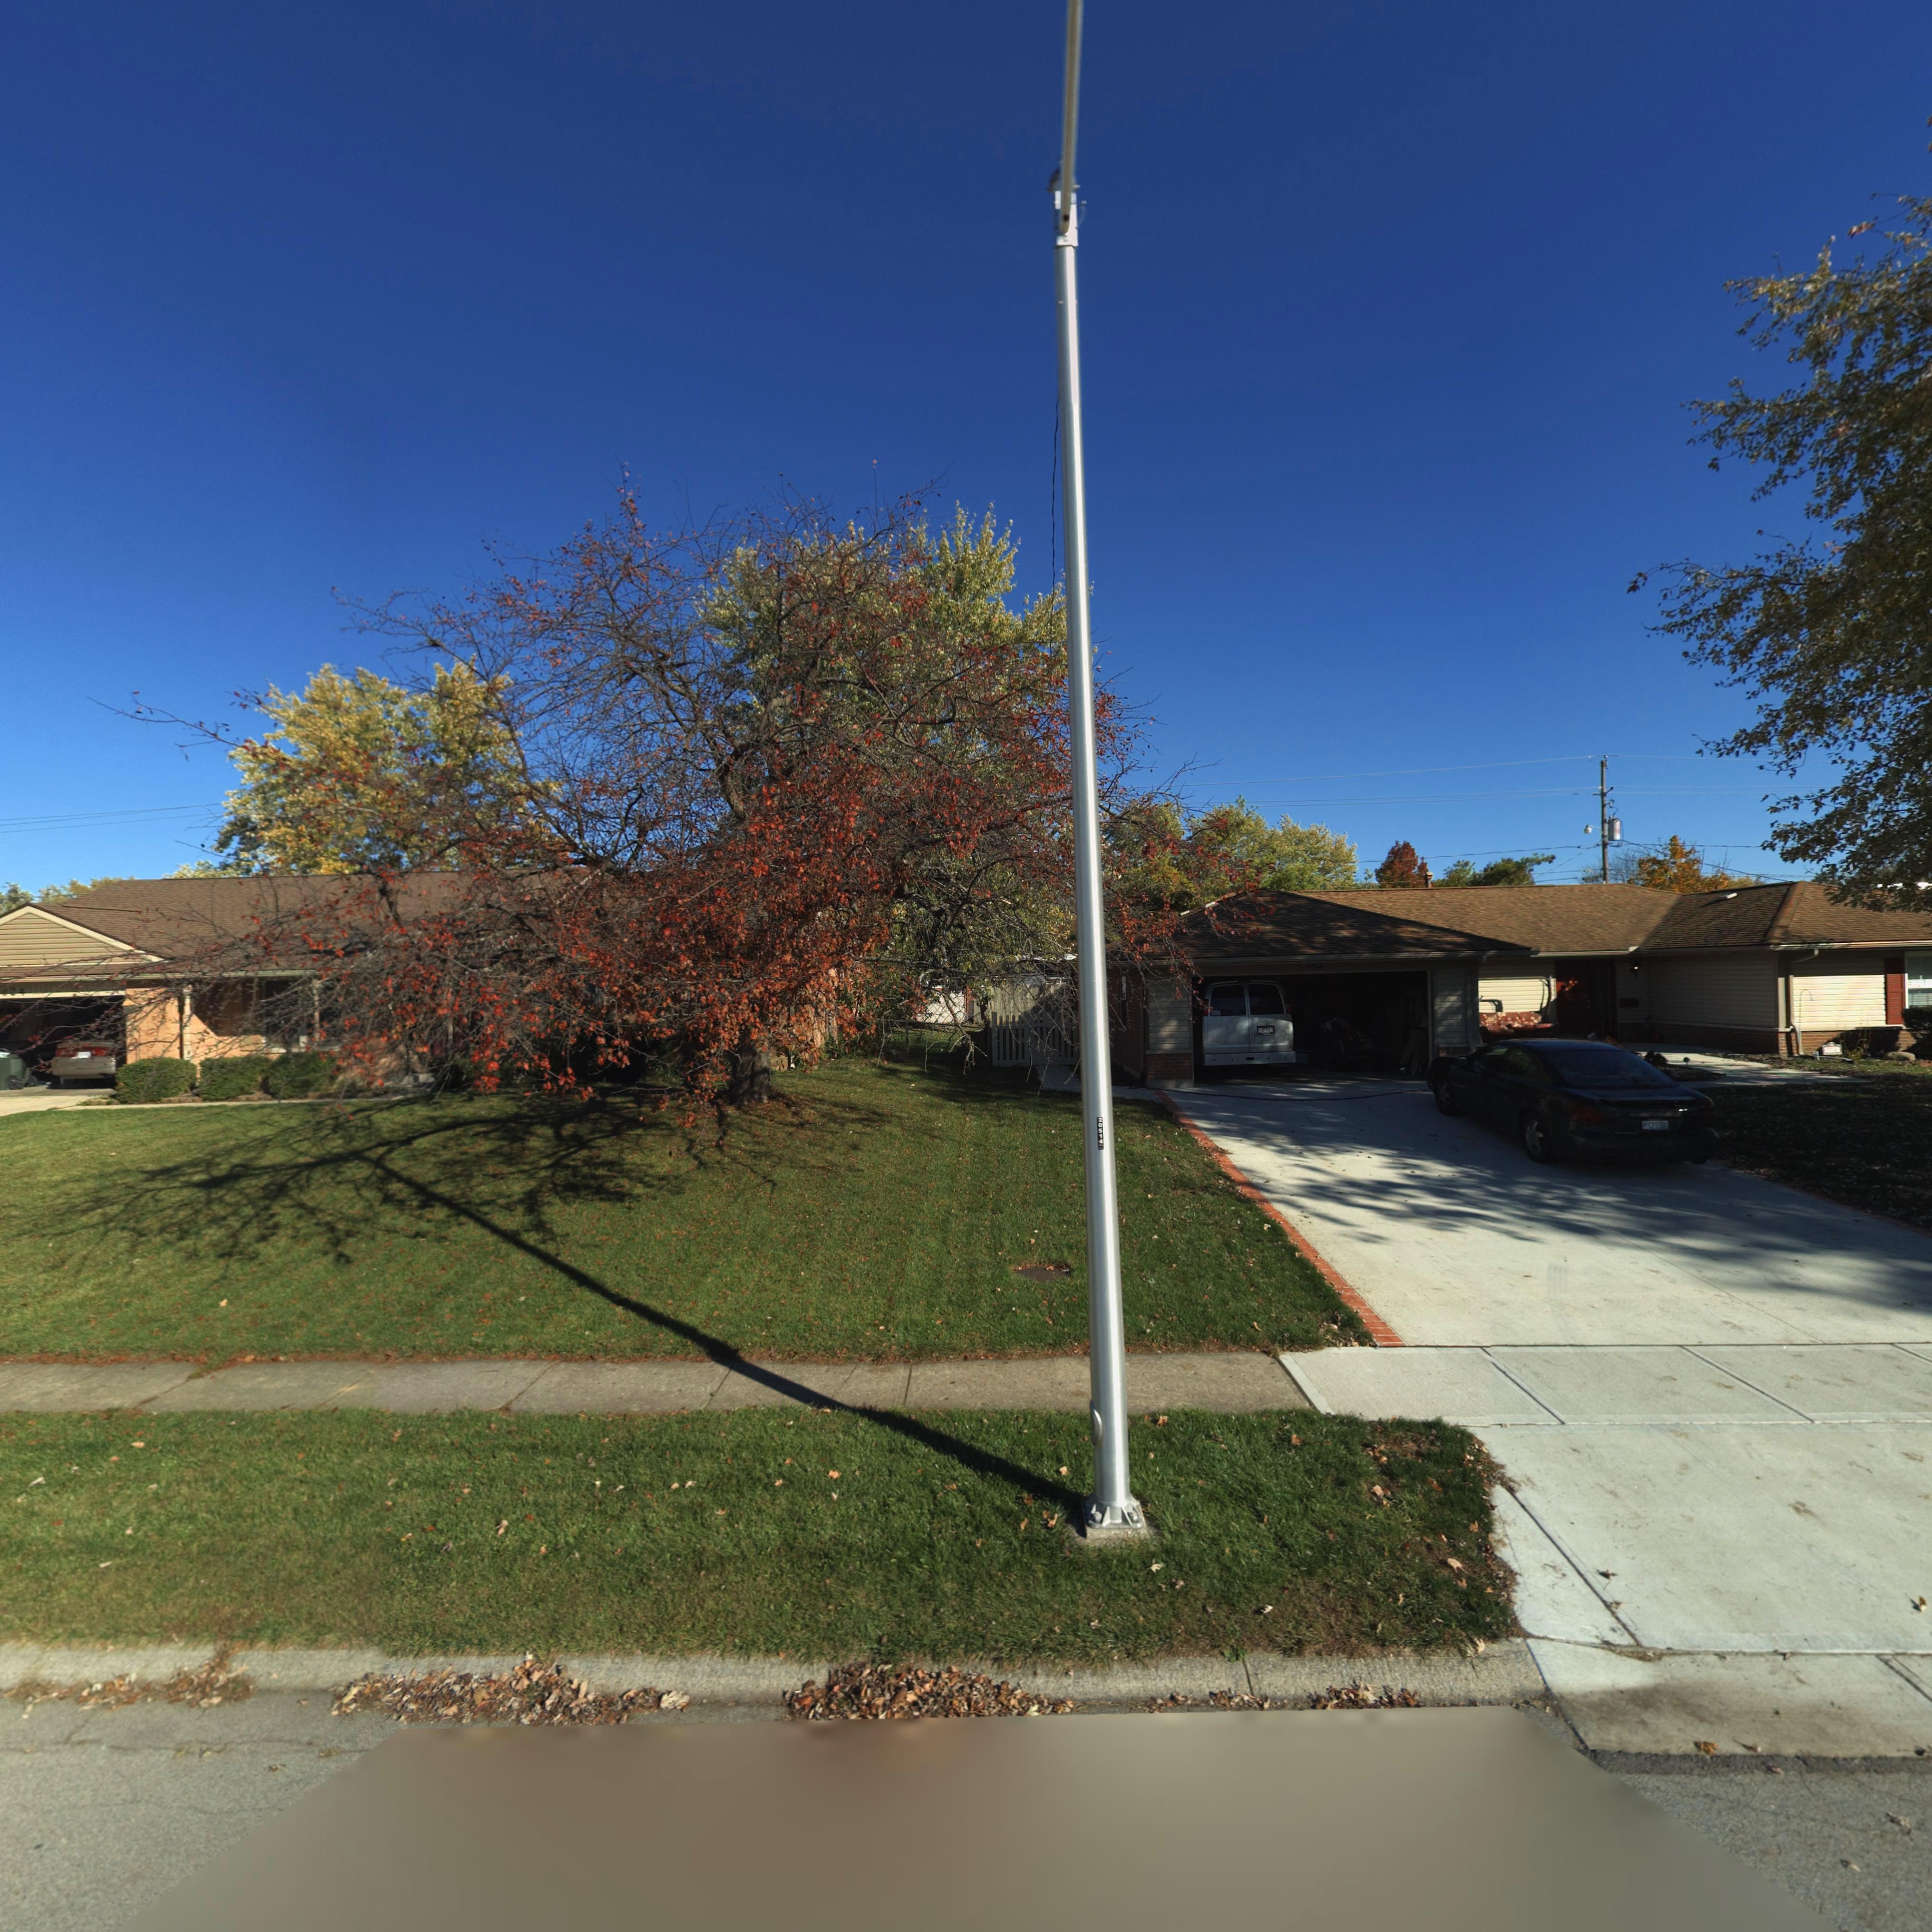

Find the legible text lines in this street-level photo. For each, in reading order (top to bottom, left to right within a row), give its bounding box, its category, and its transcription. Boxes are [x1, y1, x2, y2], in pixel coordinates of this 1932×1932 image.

[1304, 964, 1323, 972] StreetNumber: 7018
[0, 986, 26, 996] StreetNumber: 024